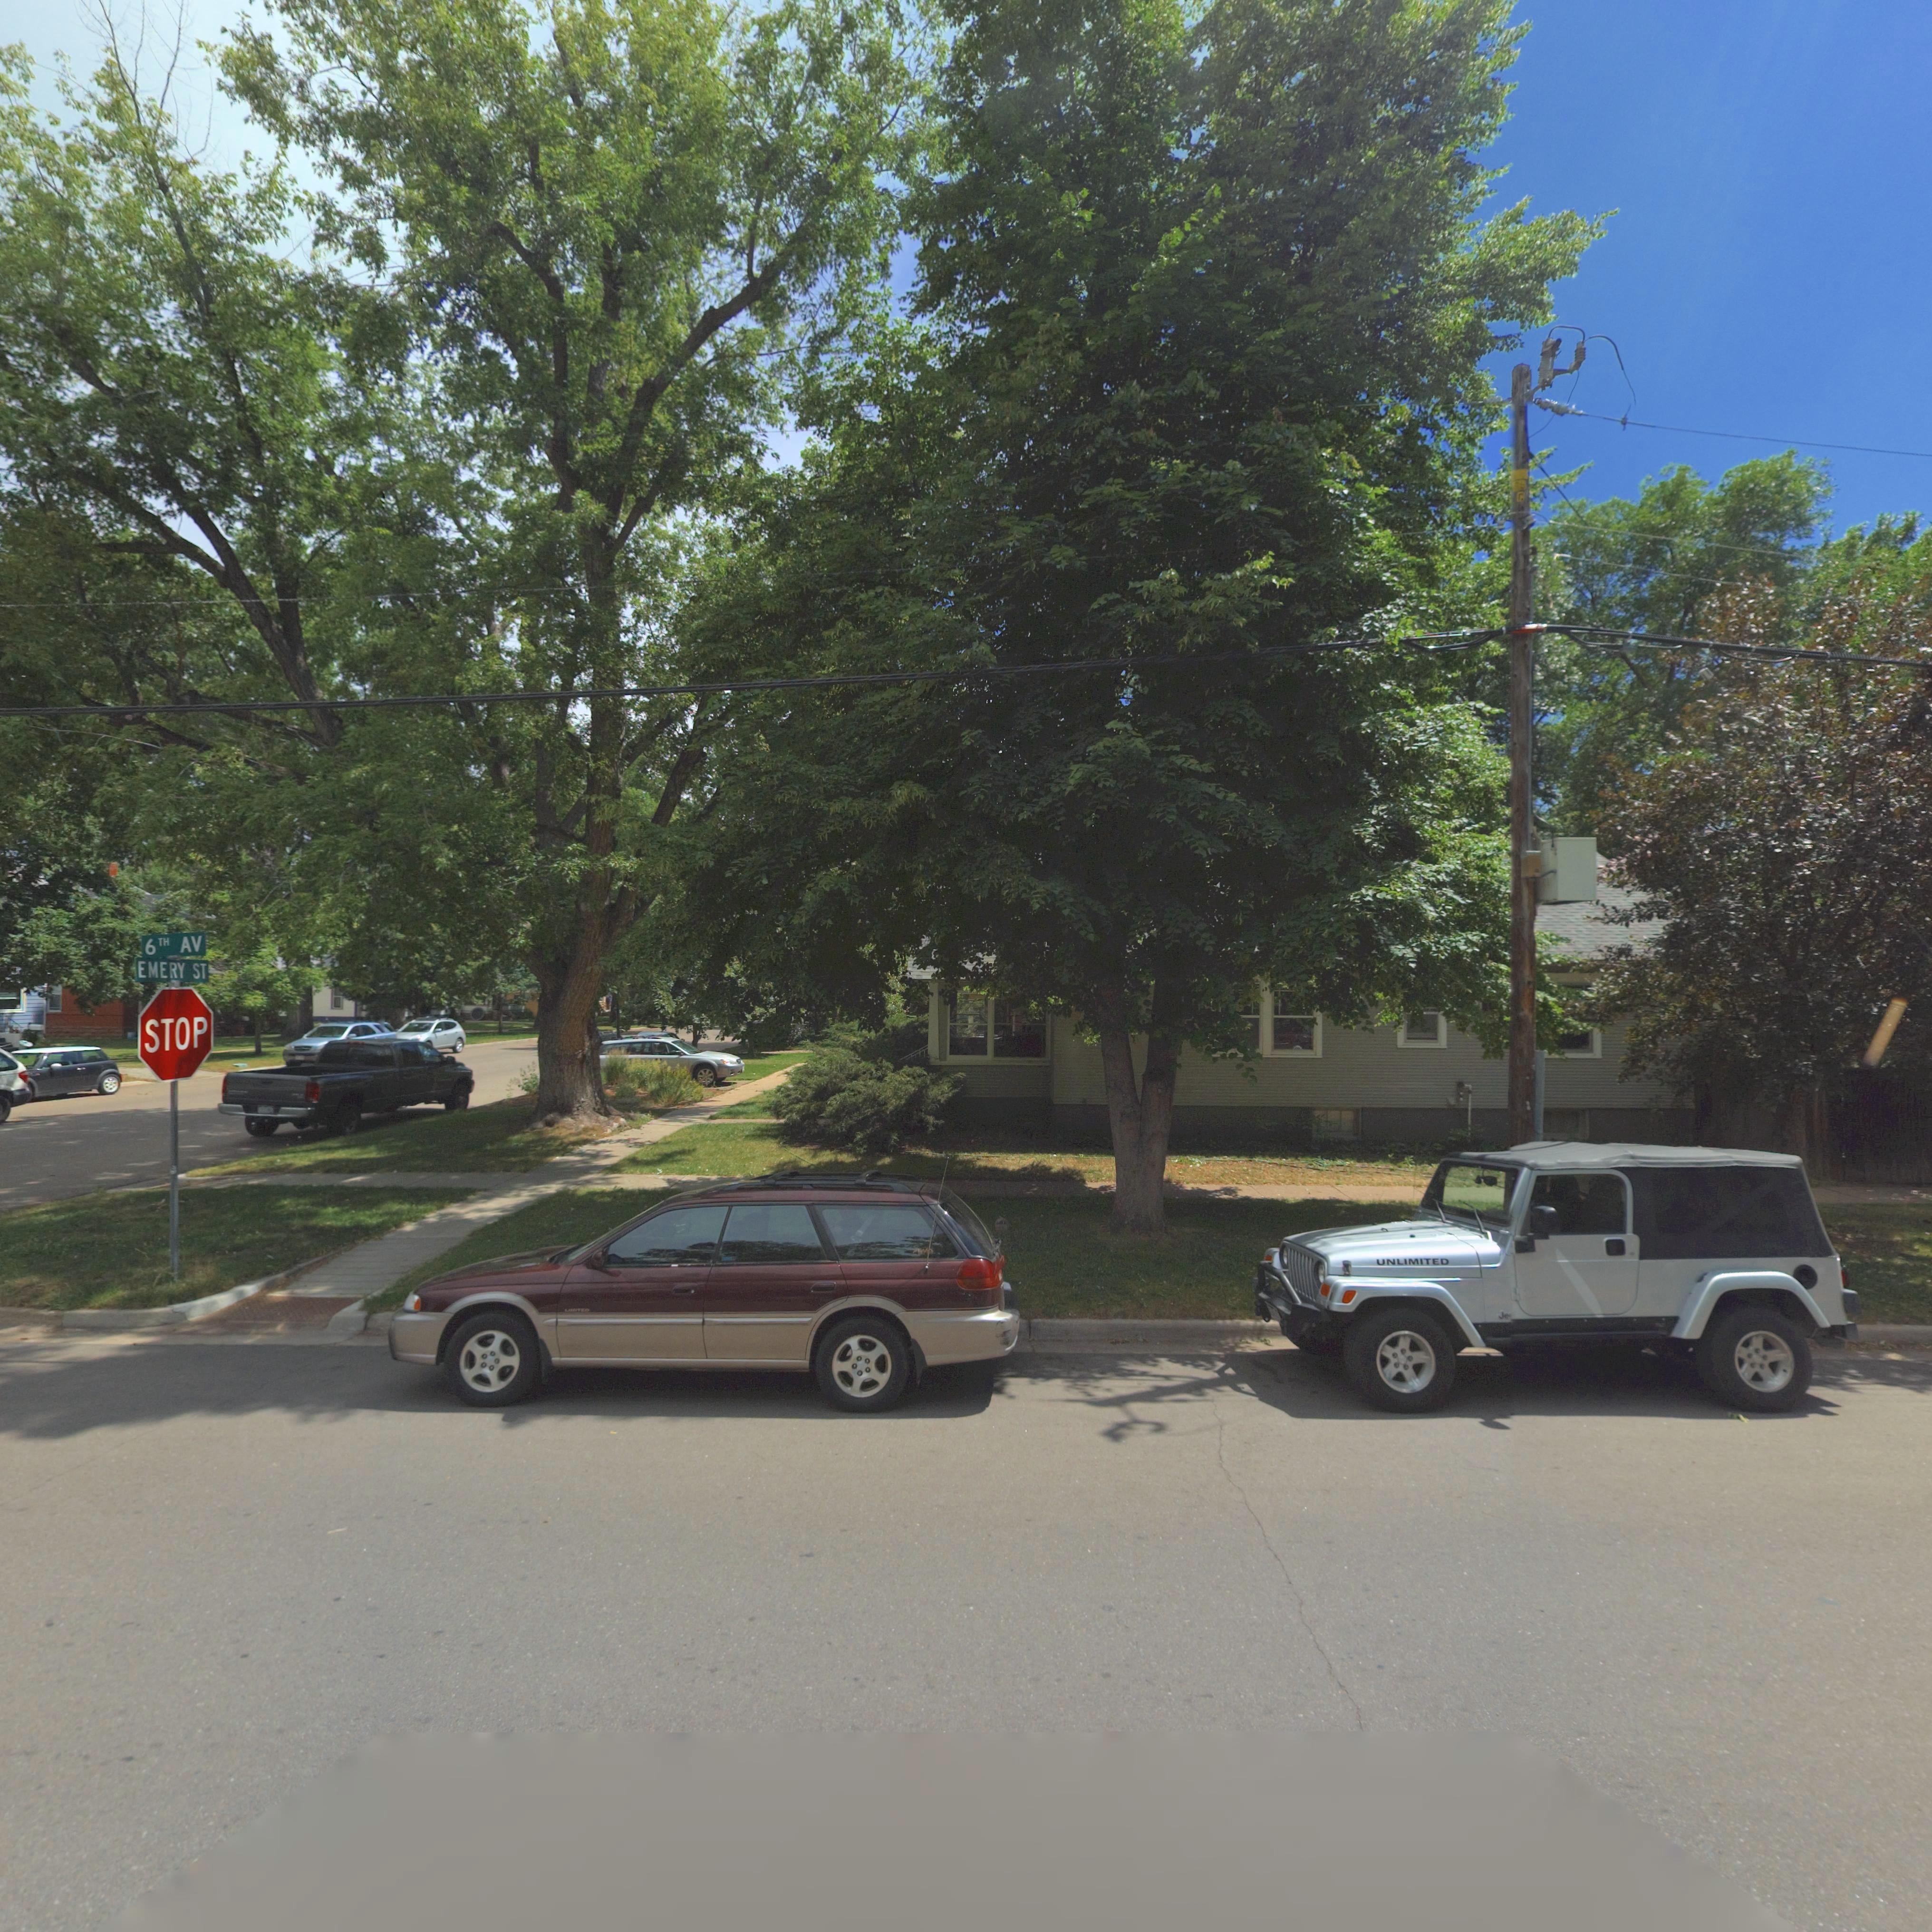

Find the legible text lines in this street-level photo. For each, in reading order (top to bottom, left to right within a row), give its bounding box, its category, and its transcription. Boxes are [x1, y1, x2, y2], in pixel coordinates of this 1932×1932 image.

[143, 934, 203, 957] StreetName: 6TH AV
[137, 961, 206, 979] StreetName: EMERY ST